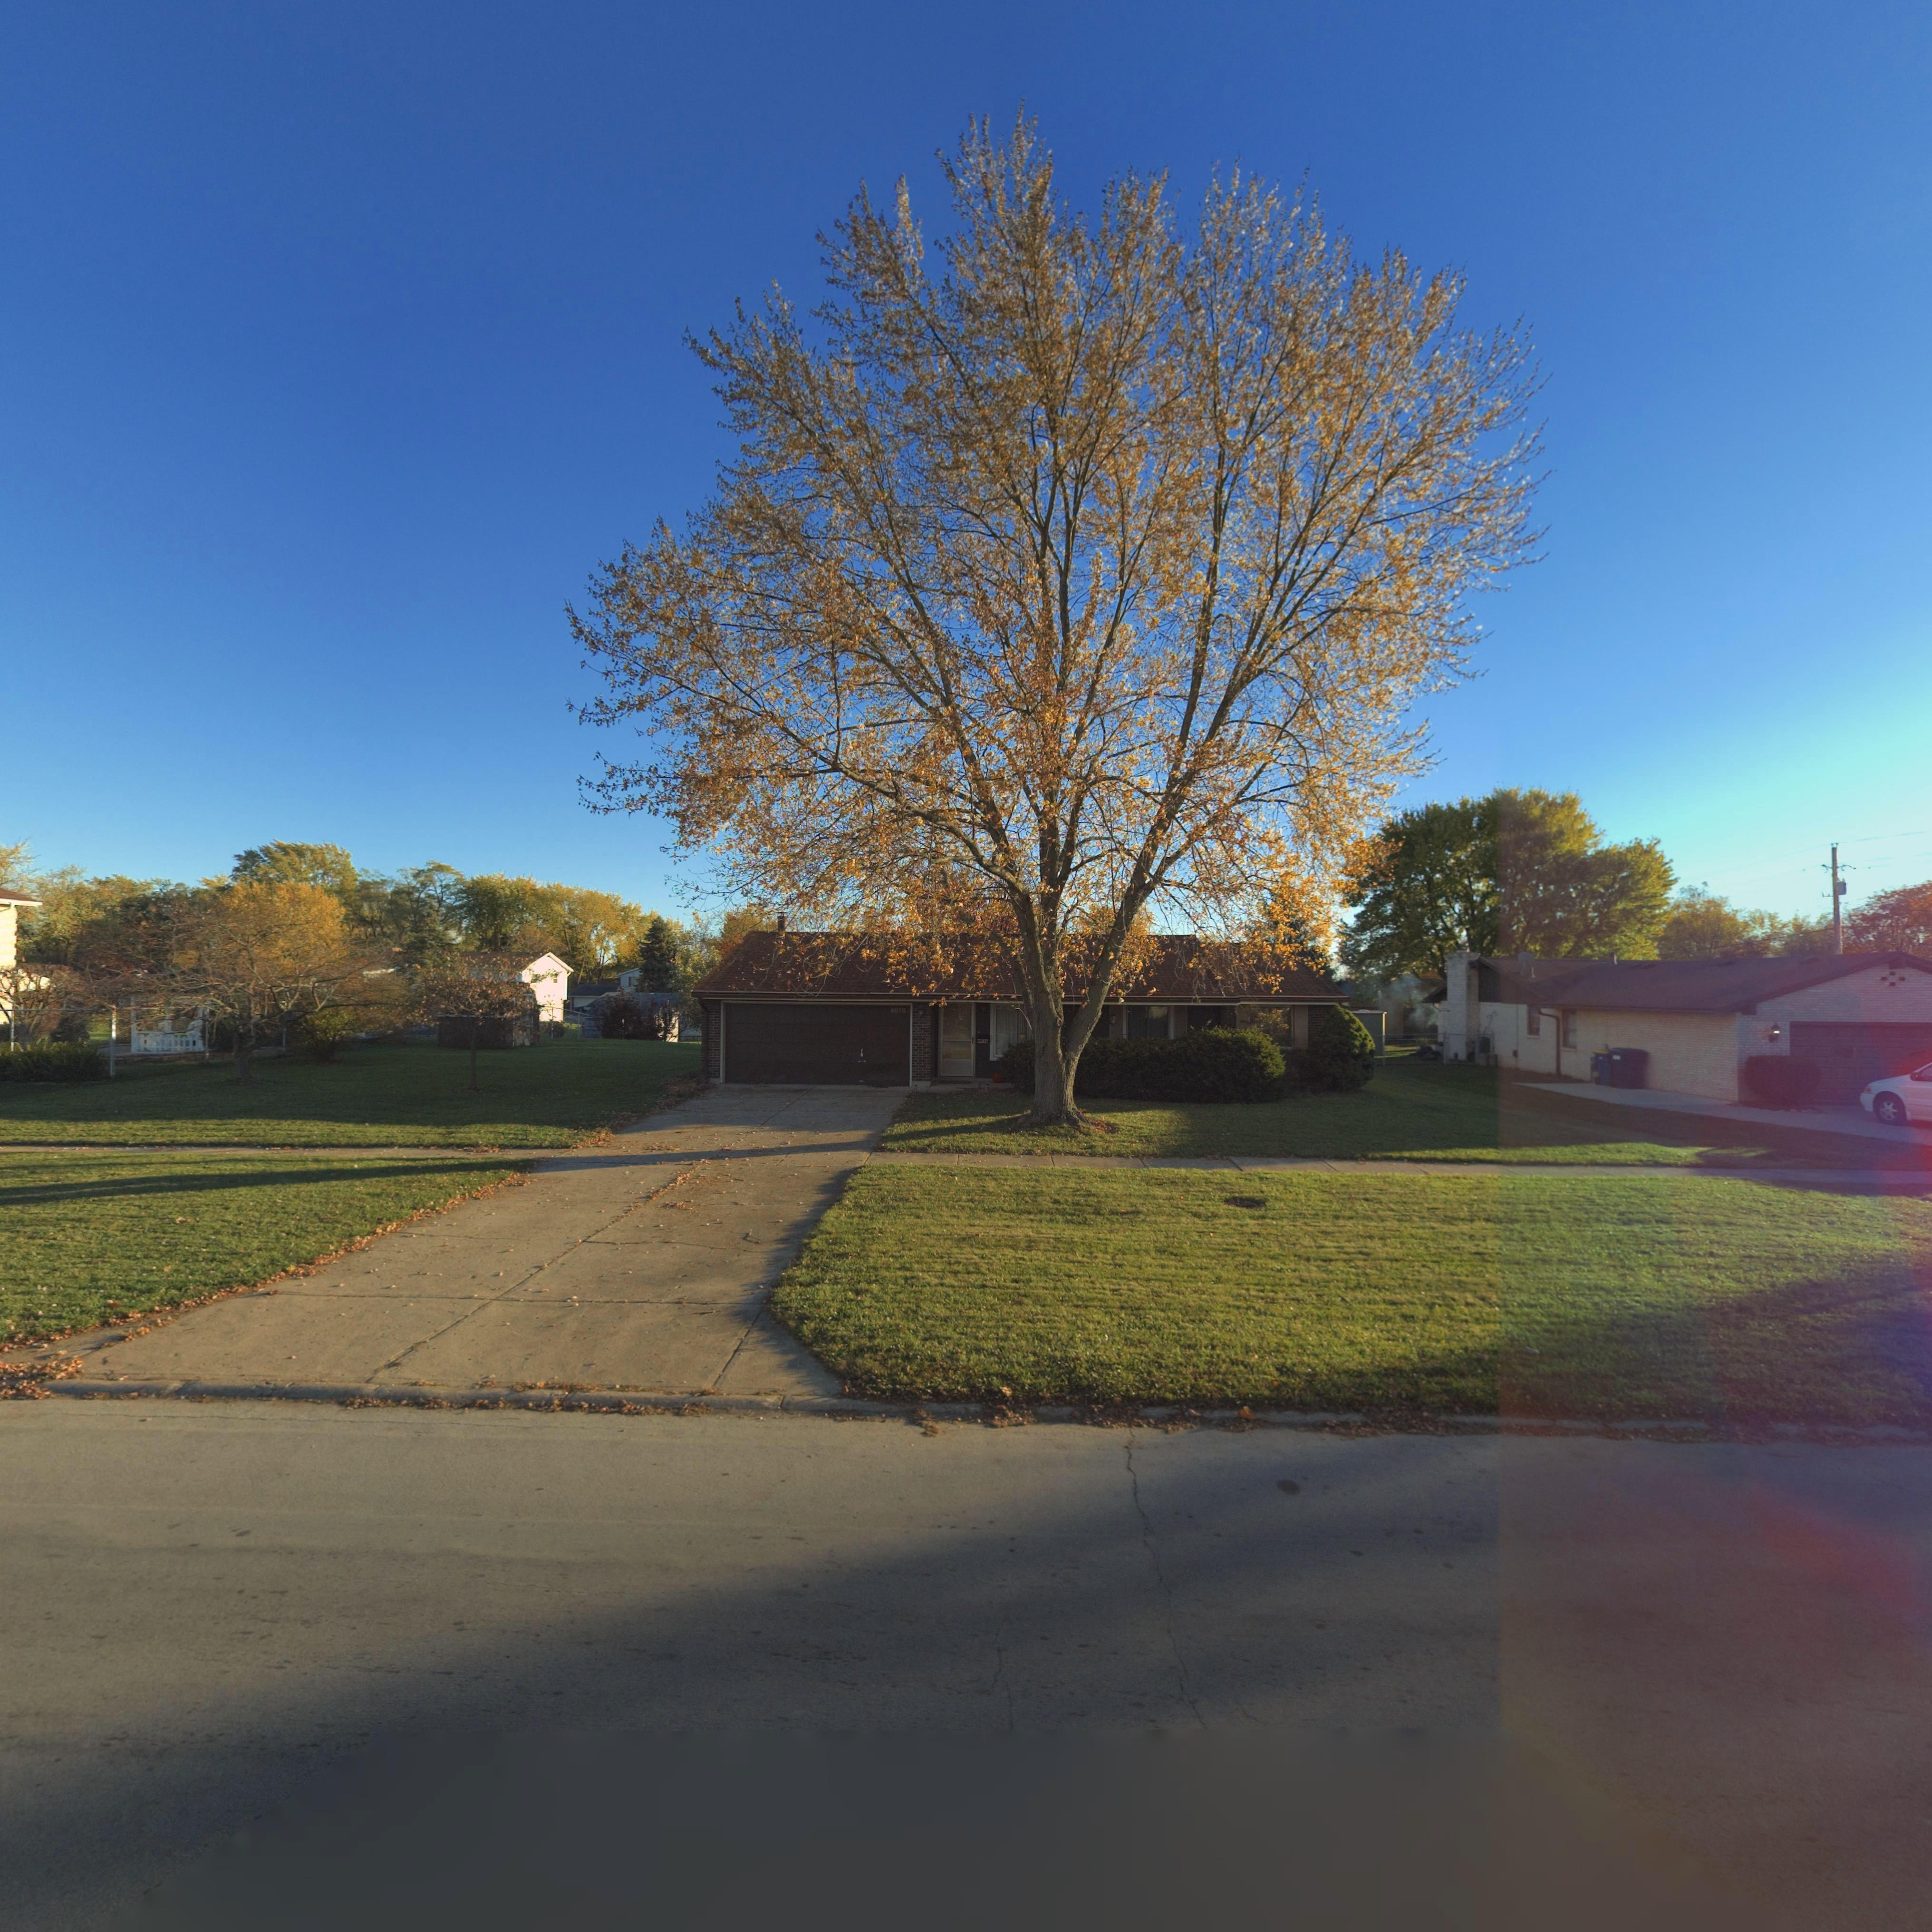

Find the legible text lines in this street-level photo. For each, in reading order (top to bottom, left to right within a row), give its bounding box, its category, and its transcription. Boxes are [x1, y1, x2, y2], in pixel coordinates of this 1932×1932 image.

[890, 1007, 906, 1014] StreetNumber: 4976
[976, 1038, 988, 1043] StreetNumber: 4976